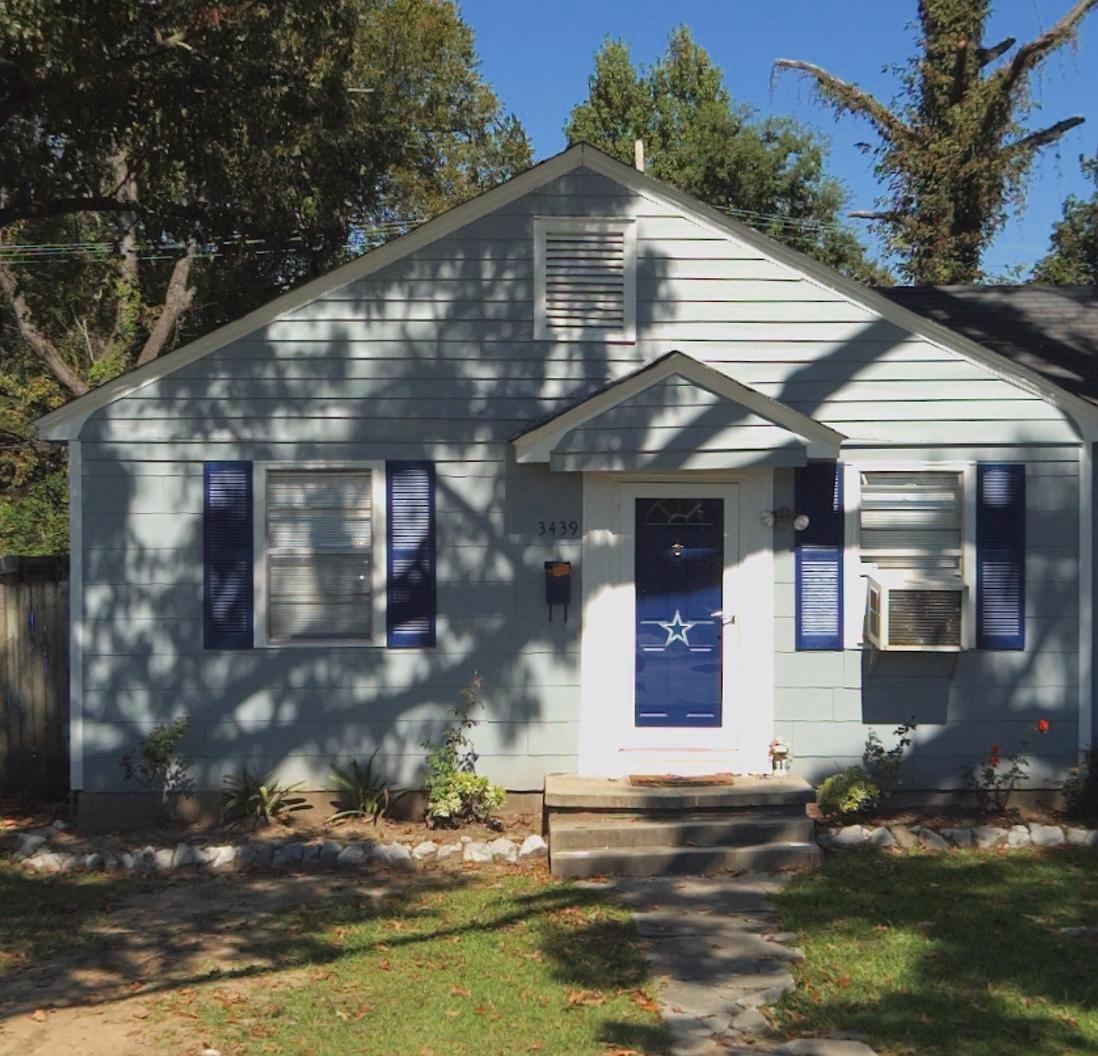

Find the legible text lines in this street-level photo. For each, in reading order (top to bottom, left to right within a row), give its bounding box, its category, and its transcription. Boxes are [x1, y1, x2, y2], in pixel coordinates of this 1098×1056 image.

[537, 520, 579, 537] StreetNumber: 3439